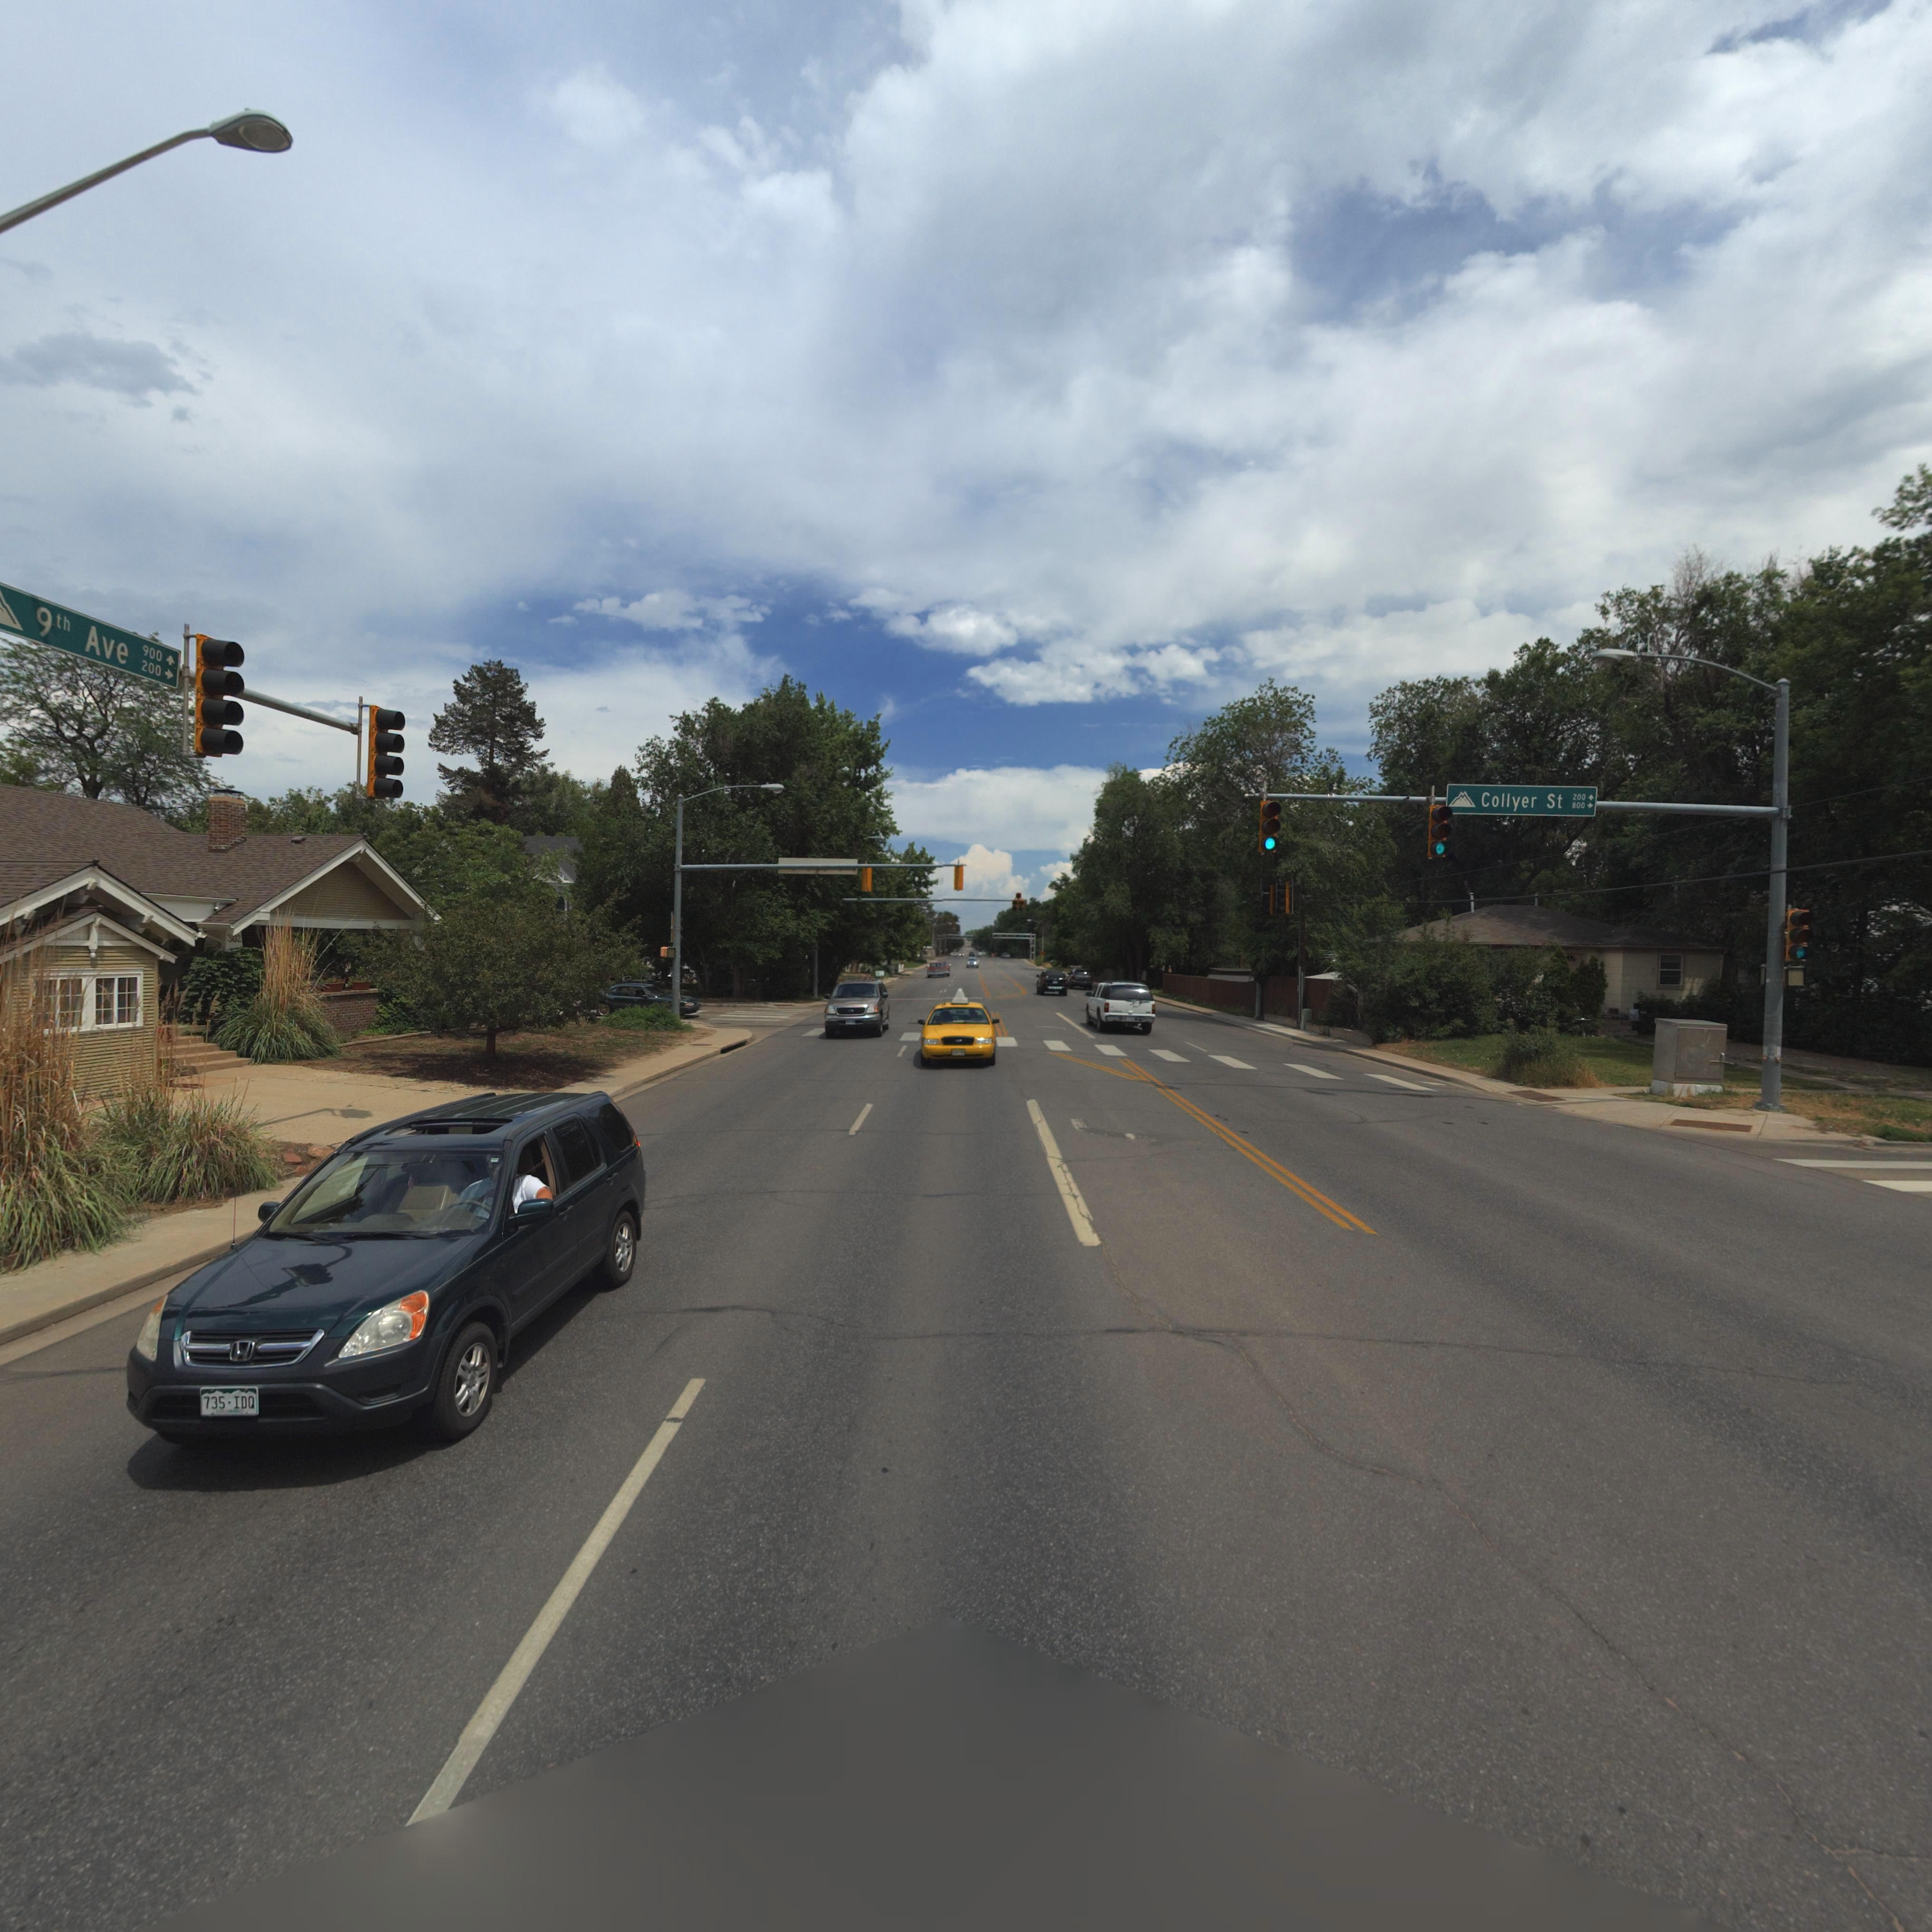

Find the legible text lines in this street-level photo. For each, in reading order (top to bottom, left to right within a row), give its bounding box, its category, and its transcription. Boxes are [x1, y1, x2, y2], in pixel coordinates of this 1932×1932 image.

[1573, 793, 1585, 800] StreetNumberRange: 200
[1481, 792, 1563, 812] StreetName: Collyer St
[1571, 802, 1594, 809] StreetNumberRange: 800->
[227, 934, 241, 943] StreetNumber: 302